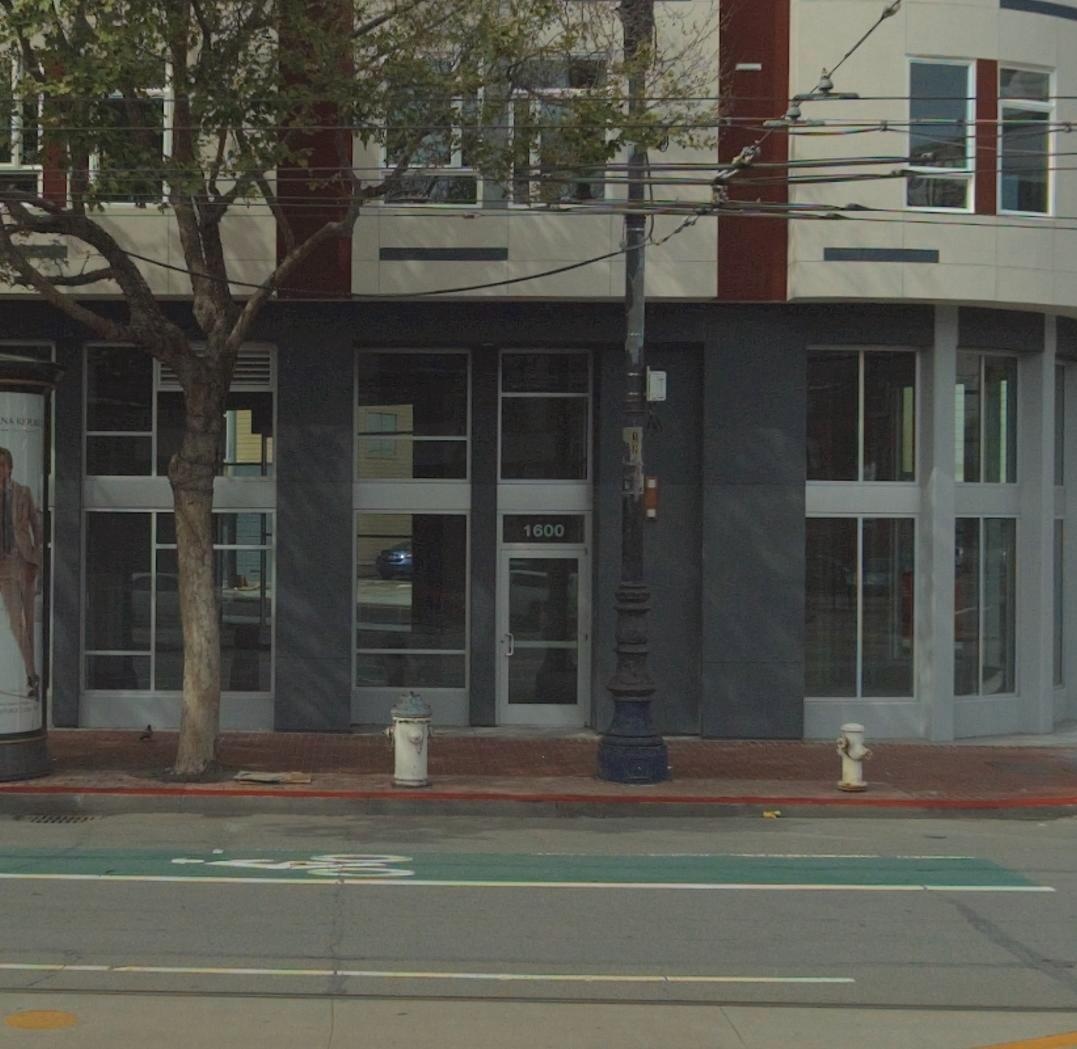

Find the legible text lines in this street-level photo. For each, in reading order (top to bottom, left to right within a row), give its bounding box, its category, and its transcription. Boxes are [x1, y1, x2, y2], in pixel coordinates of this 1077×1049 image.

[0, 417, 33, 426] None: NA REP
[523, 523, 565, 538] StreetNumber: 1600